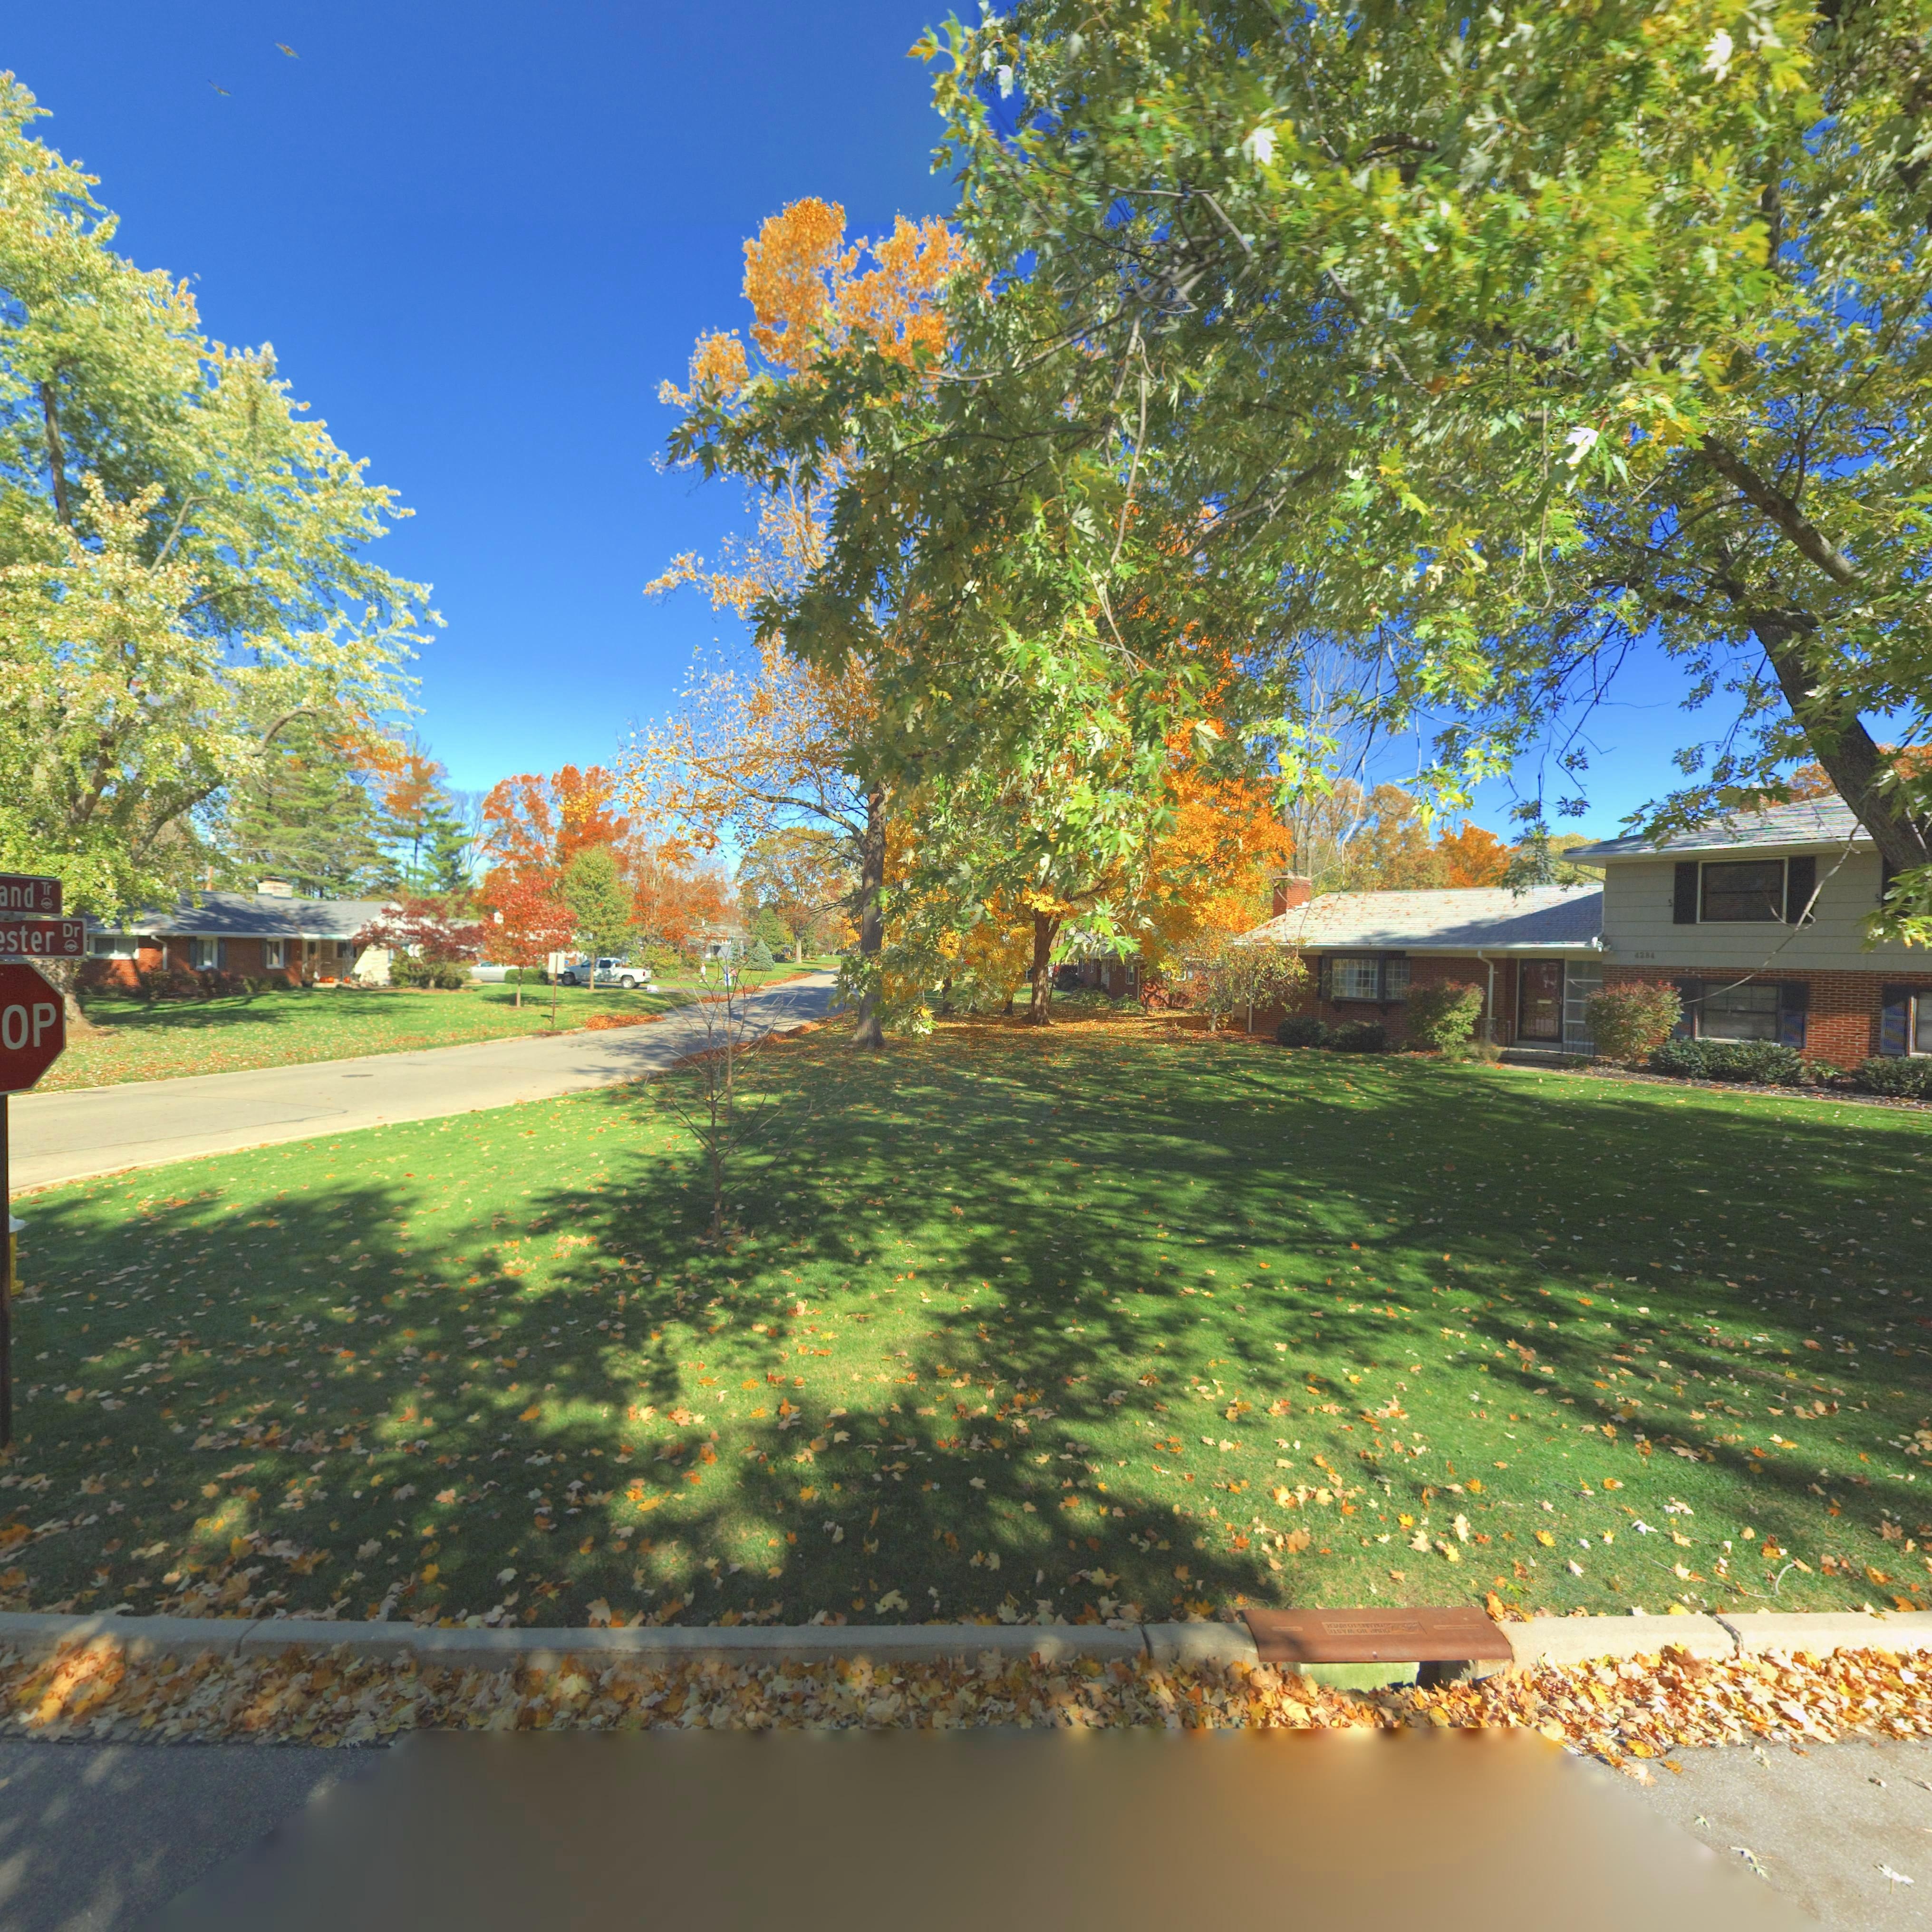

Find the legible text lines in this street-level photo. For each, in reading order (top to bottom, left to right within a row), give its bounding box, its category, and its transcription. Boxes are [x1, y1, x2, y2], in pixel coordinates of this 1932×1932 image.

[1633, 951, 1655, 959] StreetNumber: 4284